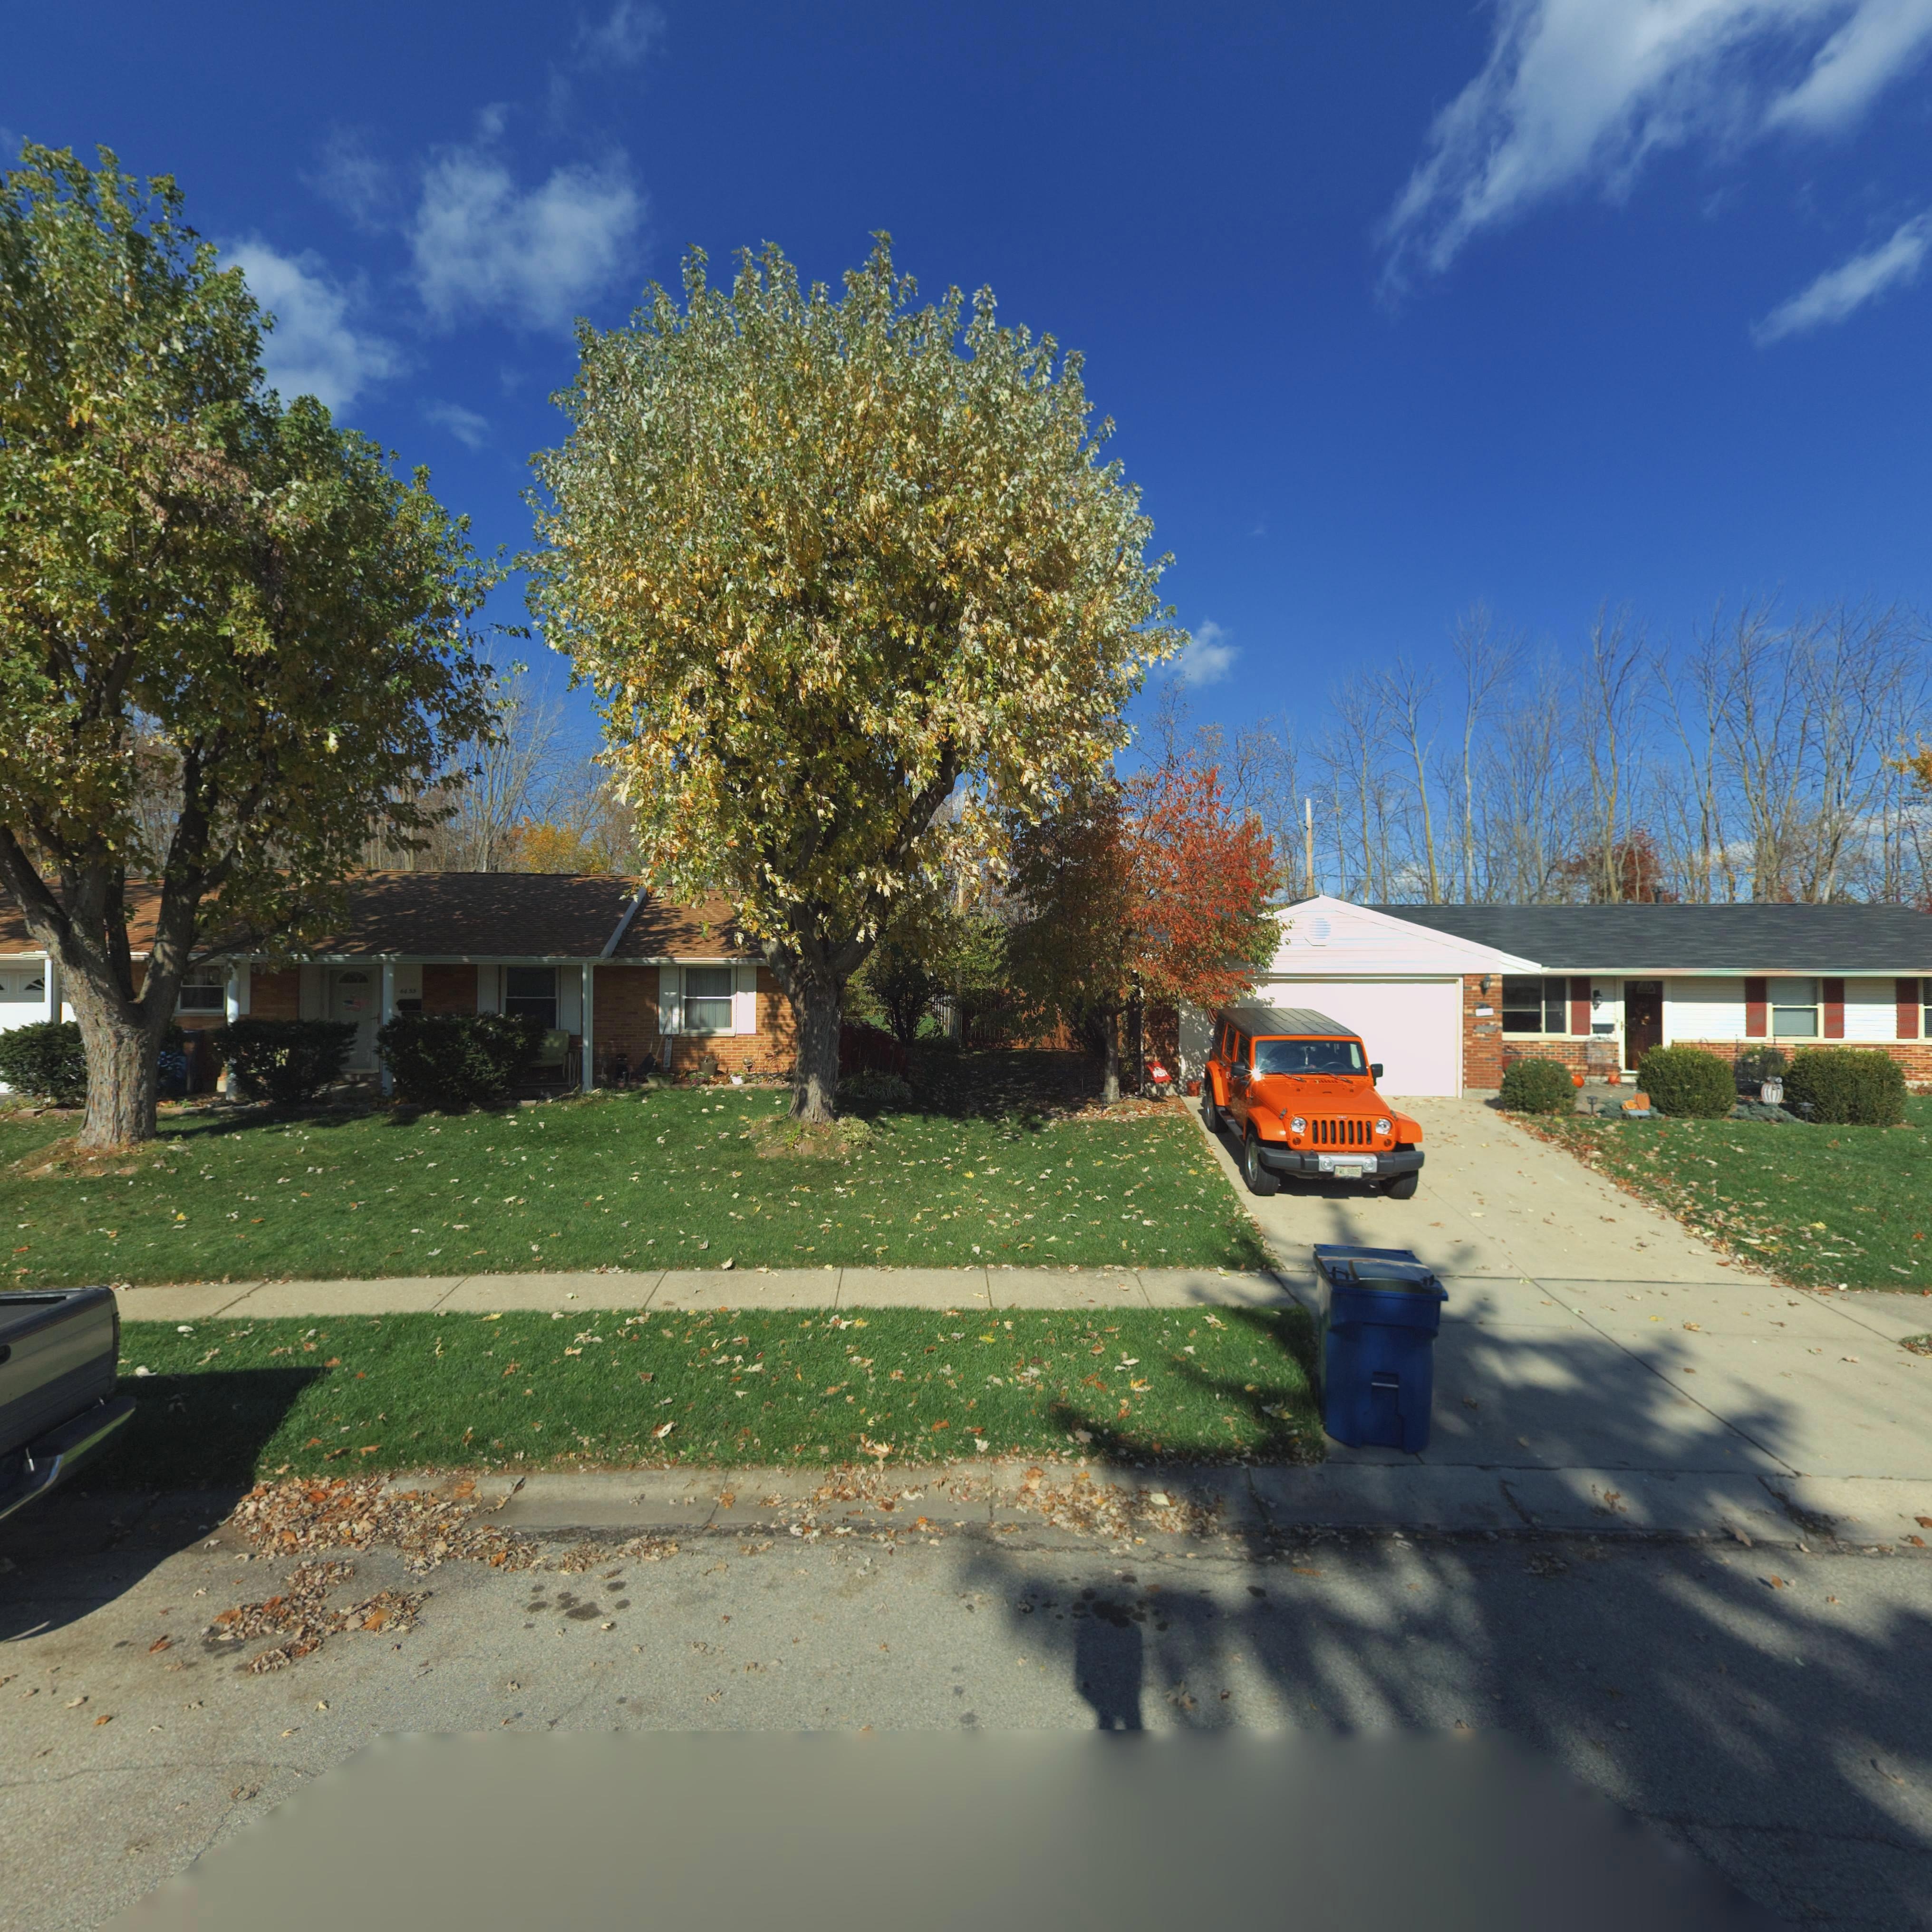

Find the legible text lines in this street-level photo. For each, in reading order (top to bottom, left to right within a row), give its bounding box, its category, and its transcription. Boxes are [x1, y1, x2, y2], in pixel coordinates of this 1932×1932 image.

[399, 988, 416, 994] StreetNumber: 6655